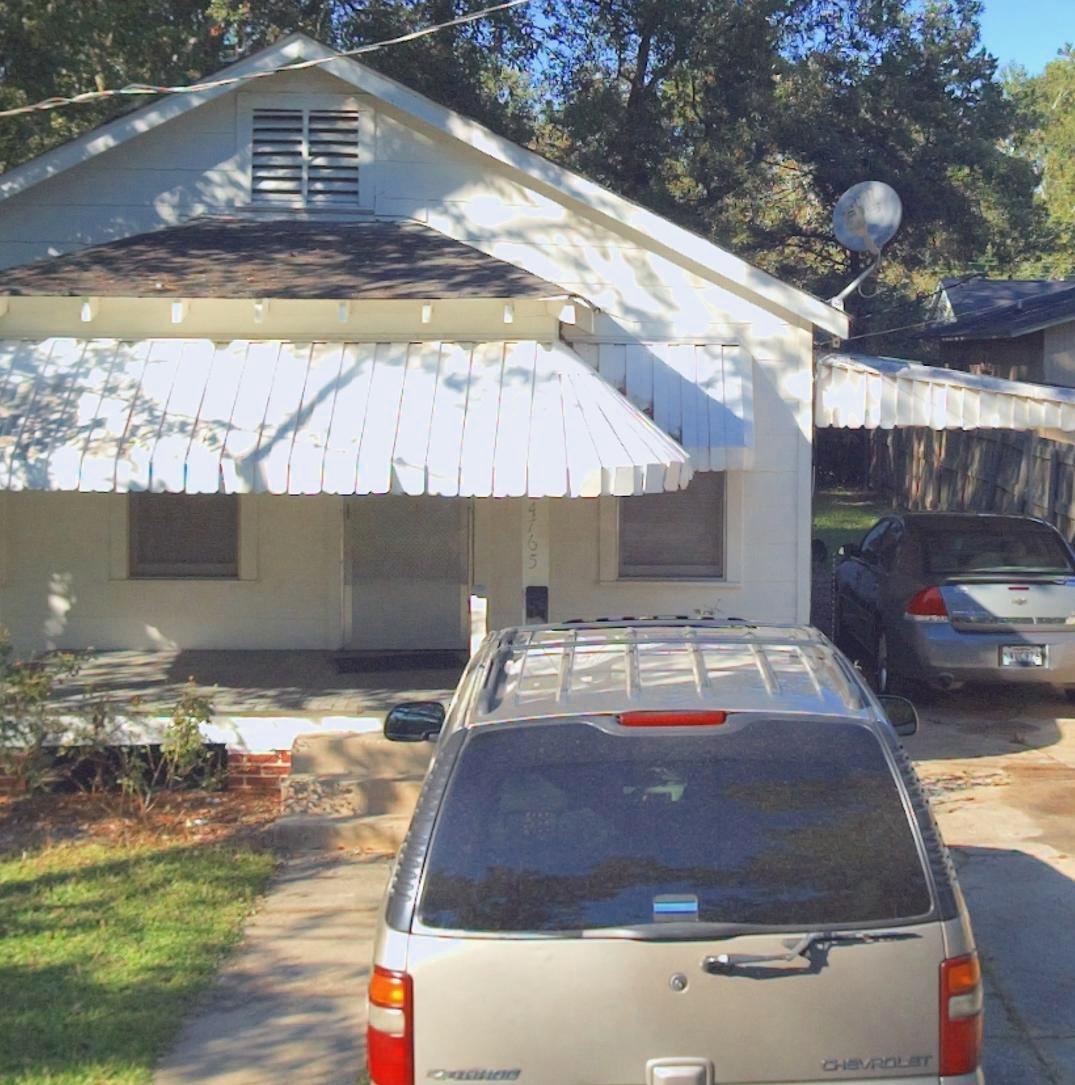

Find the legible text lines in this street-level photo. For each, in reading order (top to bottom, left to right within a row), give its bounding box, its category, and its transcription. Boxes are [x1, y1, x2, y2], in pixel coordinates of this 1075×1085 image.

[526, 500, 539, 571] StreetNumber: 4765
[819, 1054, 934, 1073] None: CHEVROLET